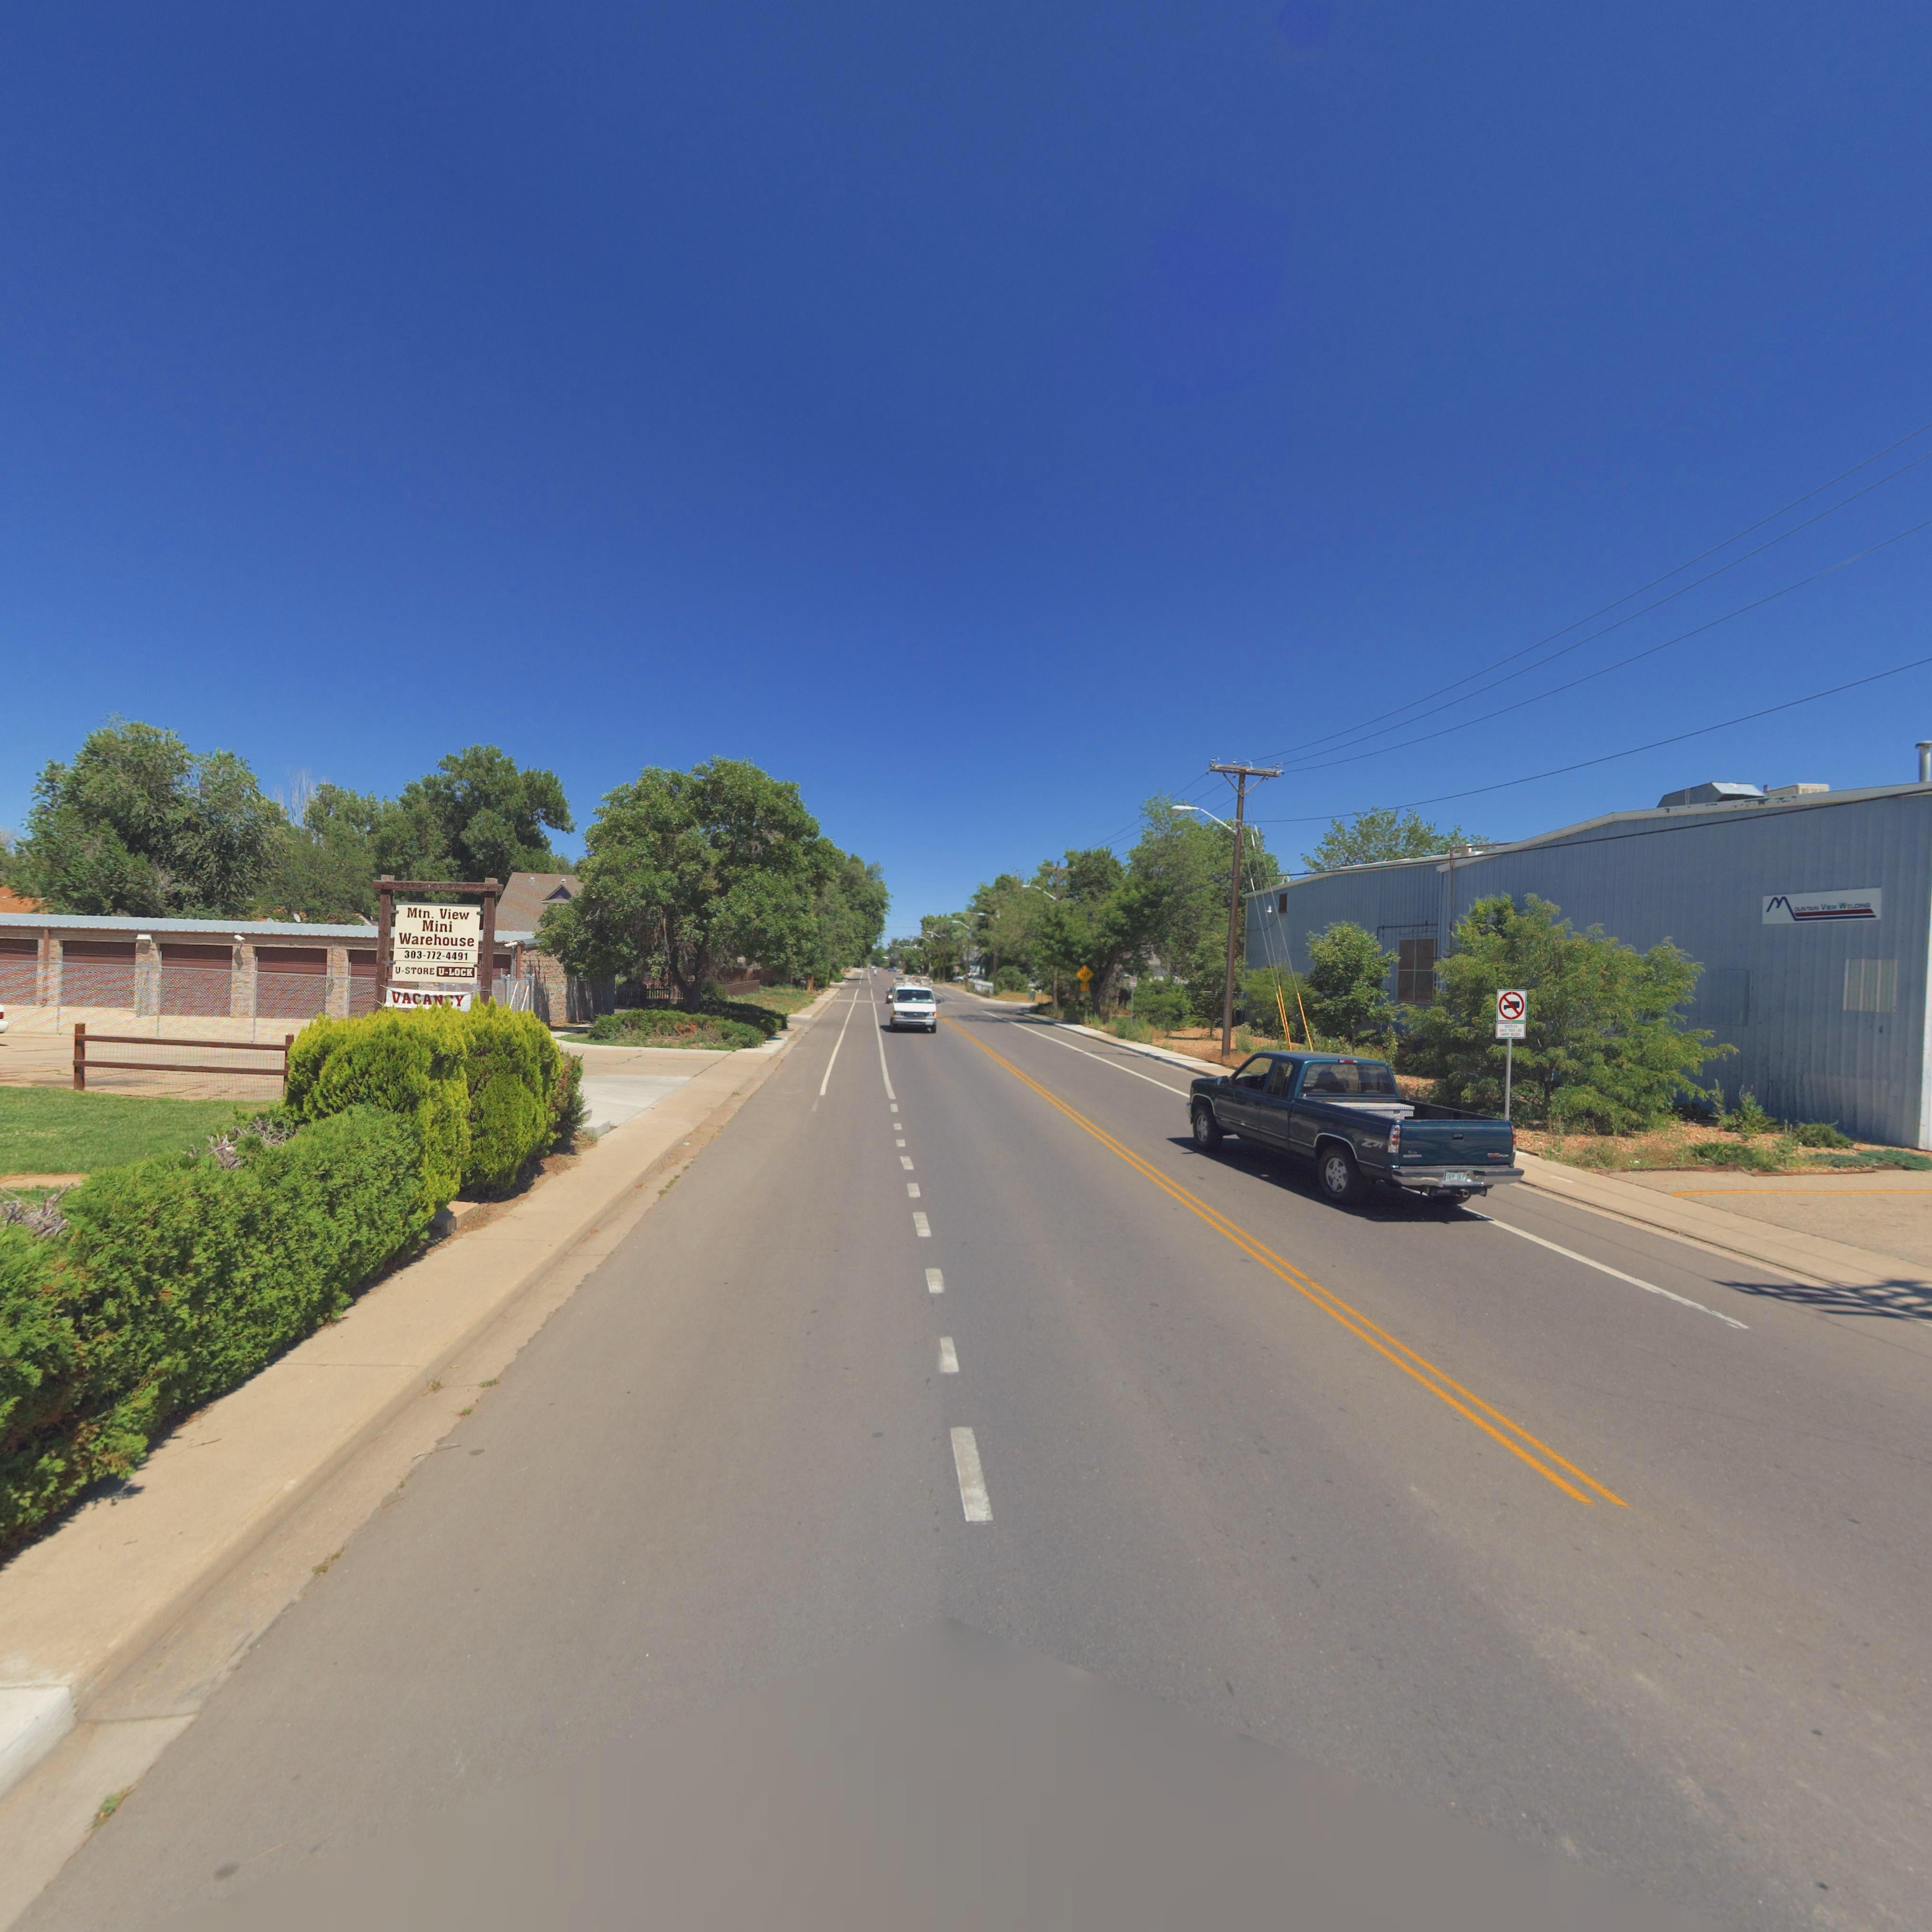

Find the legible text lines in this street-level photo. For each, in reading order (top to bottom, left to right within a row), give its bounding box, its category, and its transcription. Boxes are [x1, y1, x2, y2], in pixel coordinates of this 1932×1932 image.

[425, 882, 444, 890] StreetNumber: 440
[406, 907, 470, 920] BusinessName: Mtn. View
[1793, 901, 1872, 912] BusinessName: OUNT**N V**W WELDI**
[421, 919, 453, 933] BusinessName: Mini
[398, 932, 474, 947] BusinessName: Warehouse